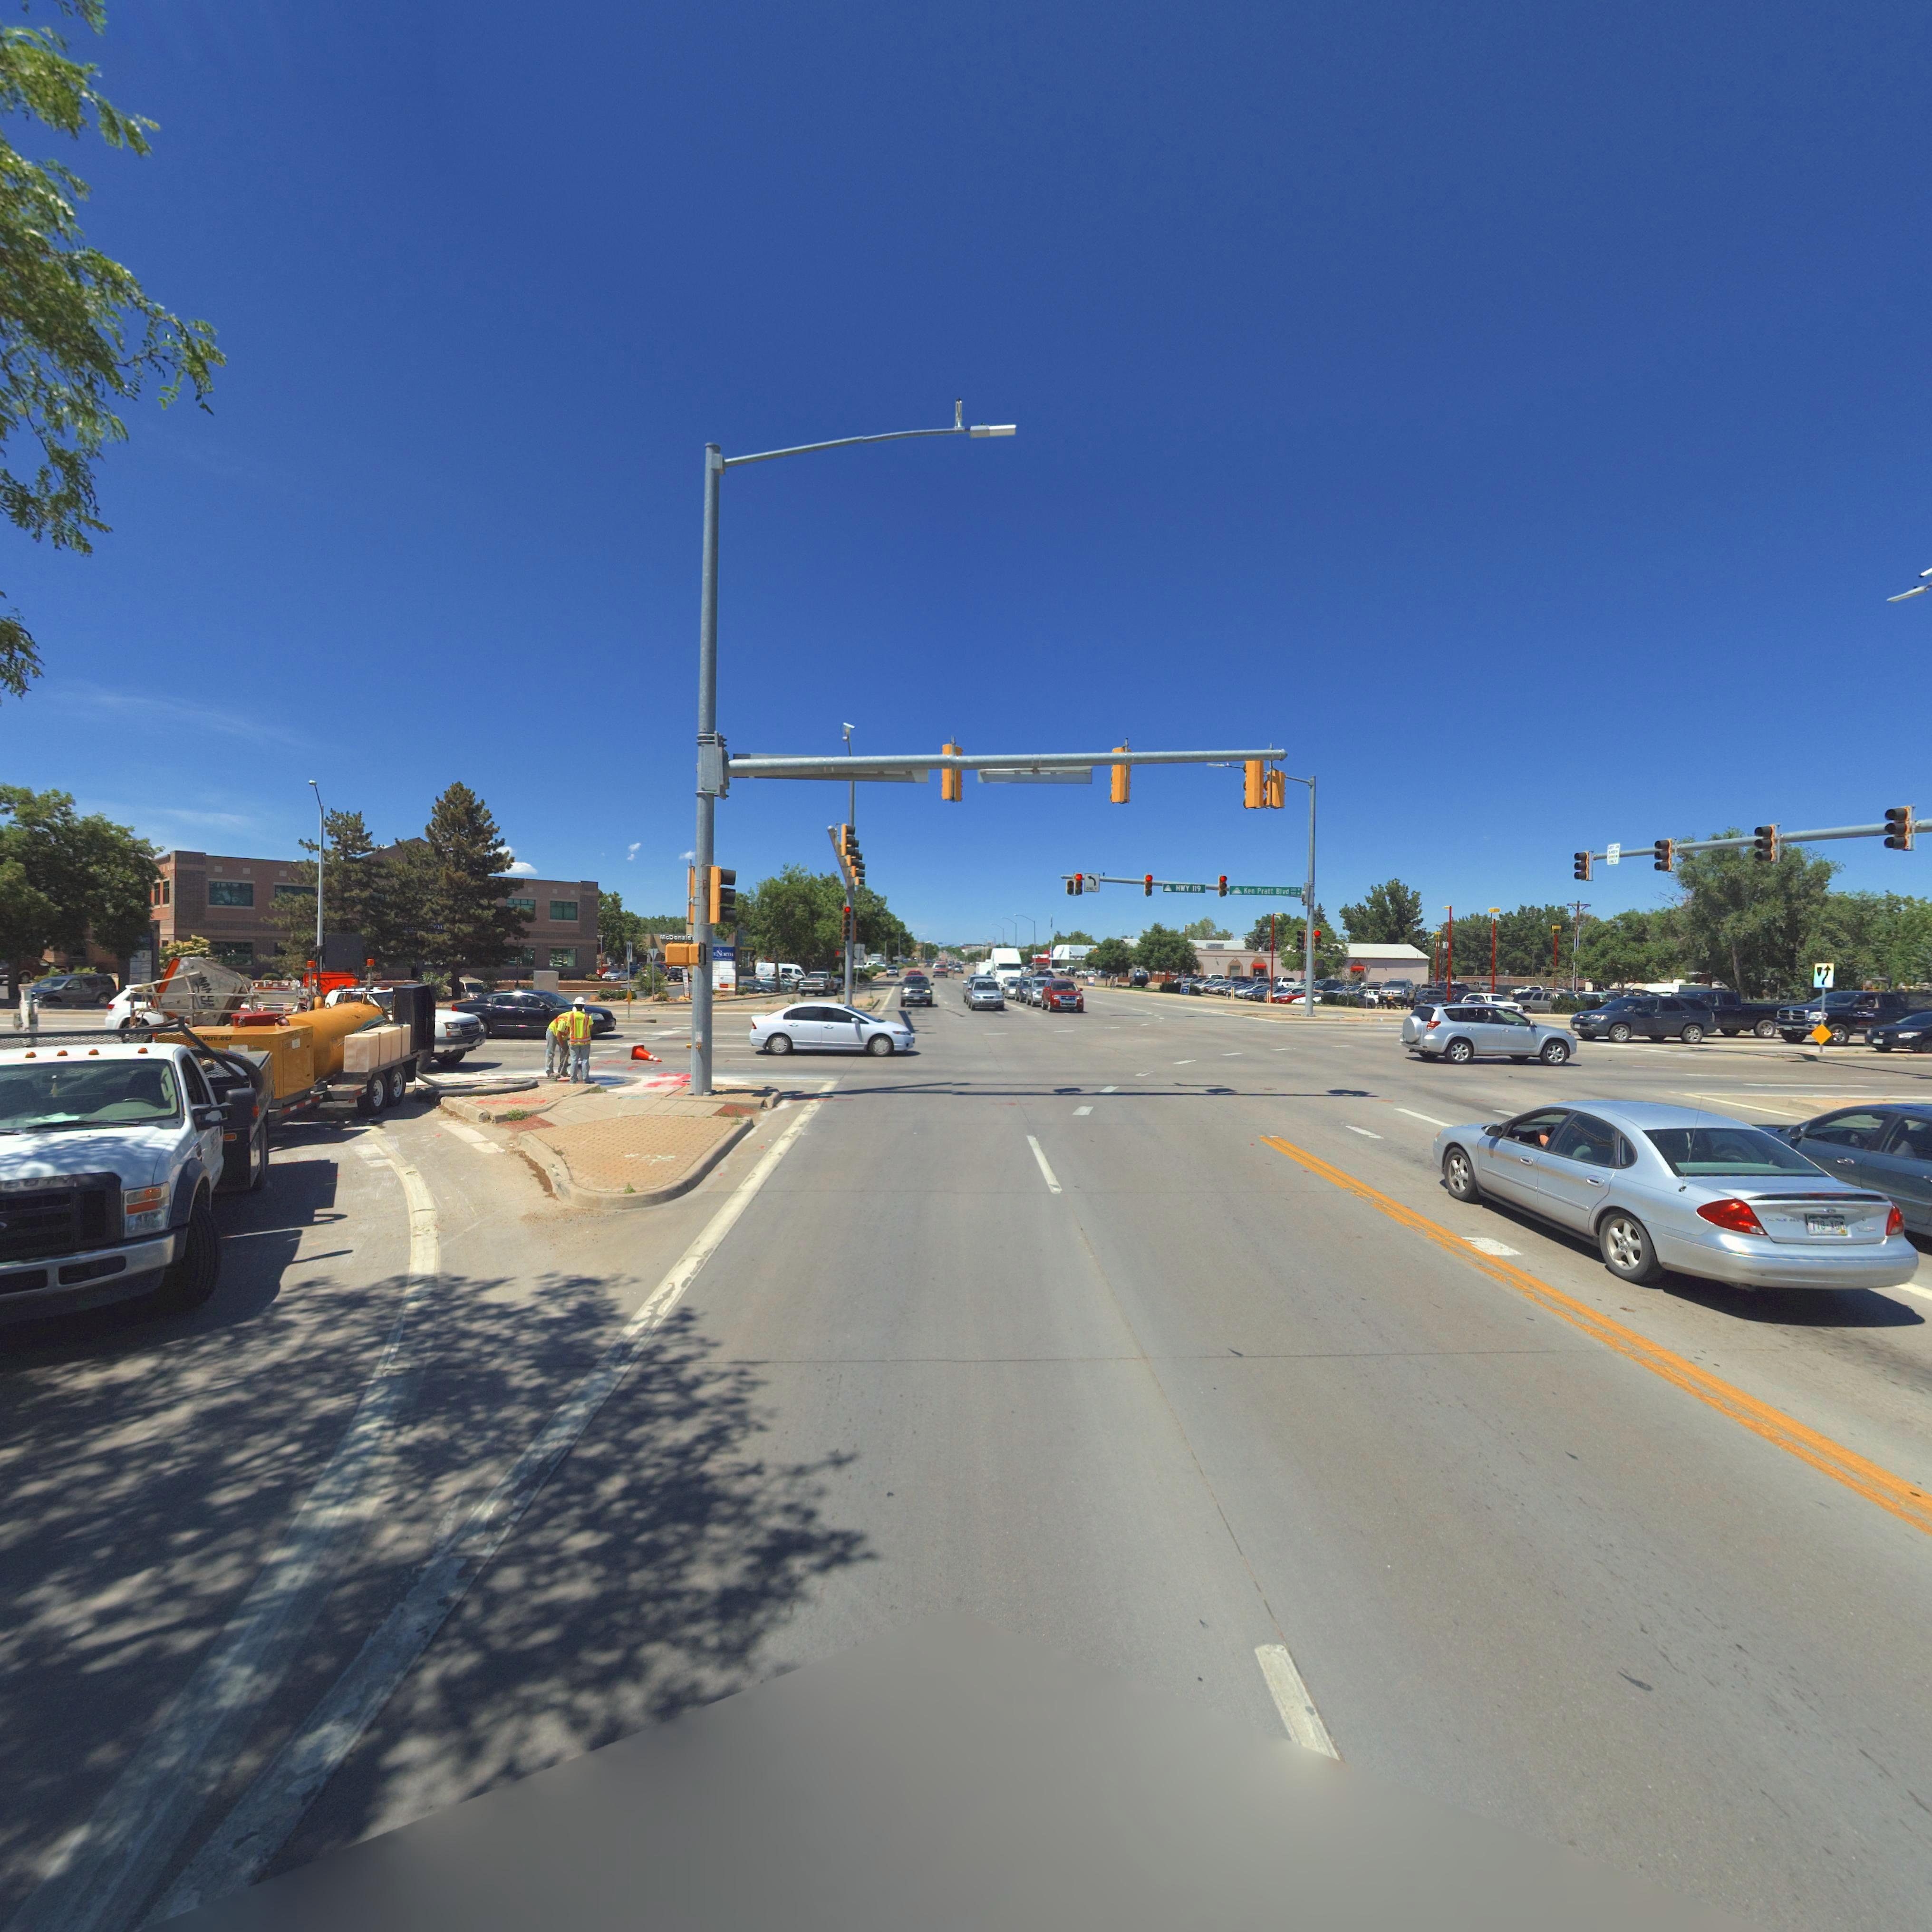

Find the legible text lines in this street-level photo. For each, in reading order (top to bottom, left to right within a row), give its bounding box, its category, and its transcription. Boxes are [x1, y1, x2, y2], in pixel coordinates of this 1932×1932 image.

[1175, 884, 1201, 892] StreetName: HWY 119
[1243, 887, 1289, 894] StreetName: Ken Pratt Blvd
[1291, 888, 1296, 891] StreetNumberRange: *00
[1290, 891, 1300, 895] StreetNumberRange: *00 ->
[659, 934, 696, 940] BusinessName: McDonald'*
[713, 948, 734, 958] BusinessName: E***TH